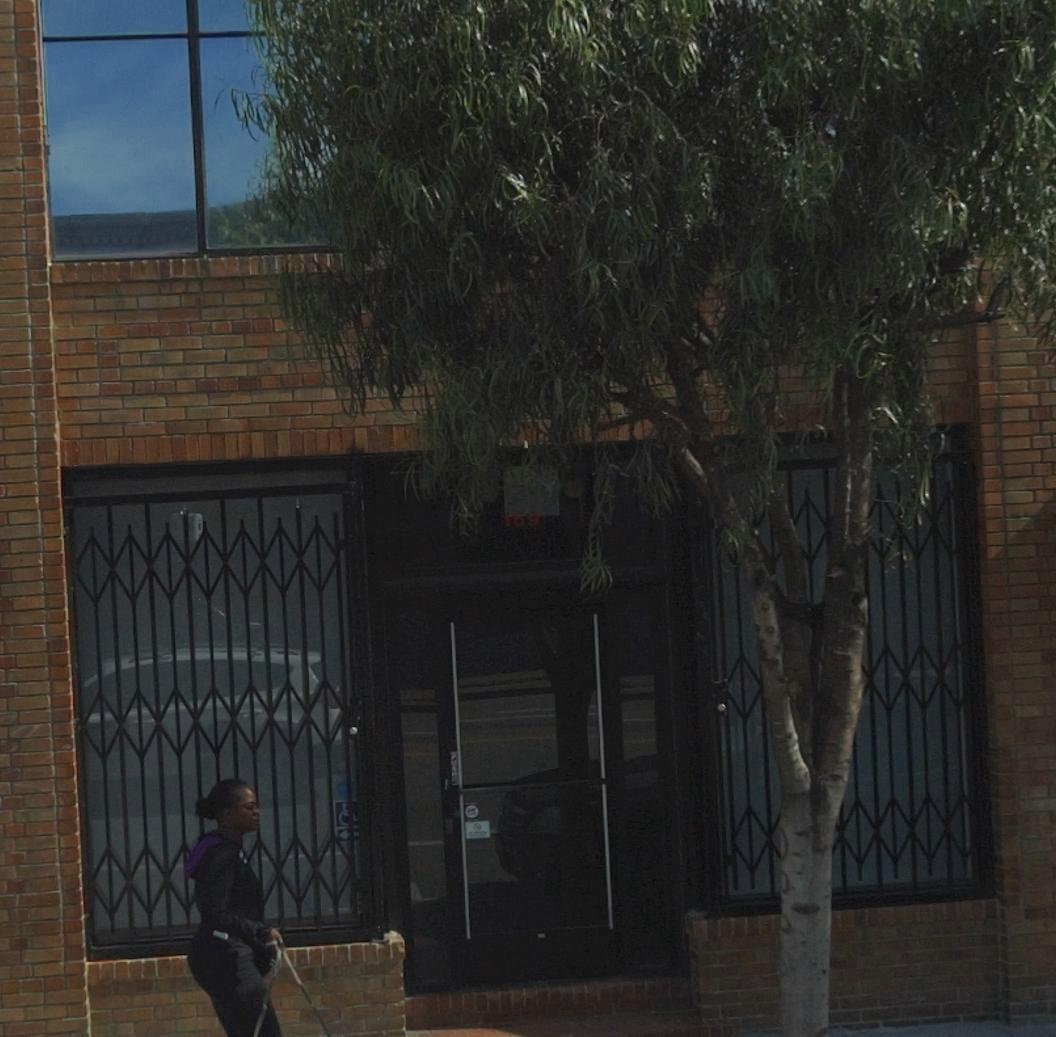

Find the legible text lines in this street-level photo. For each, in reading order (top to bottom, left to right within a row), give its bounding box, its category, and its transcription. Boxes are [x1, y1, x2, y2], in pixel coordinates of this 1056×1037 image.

[501, 508, 542, 530] StreetNumber: 169
[450, 750, 459, 779] None: PUSH